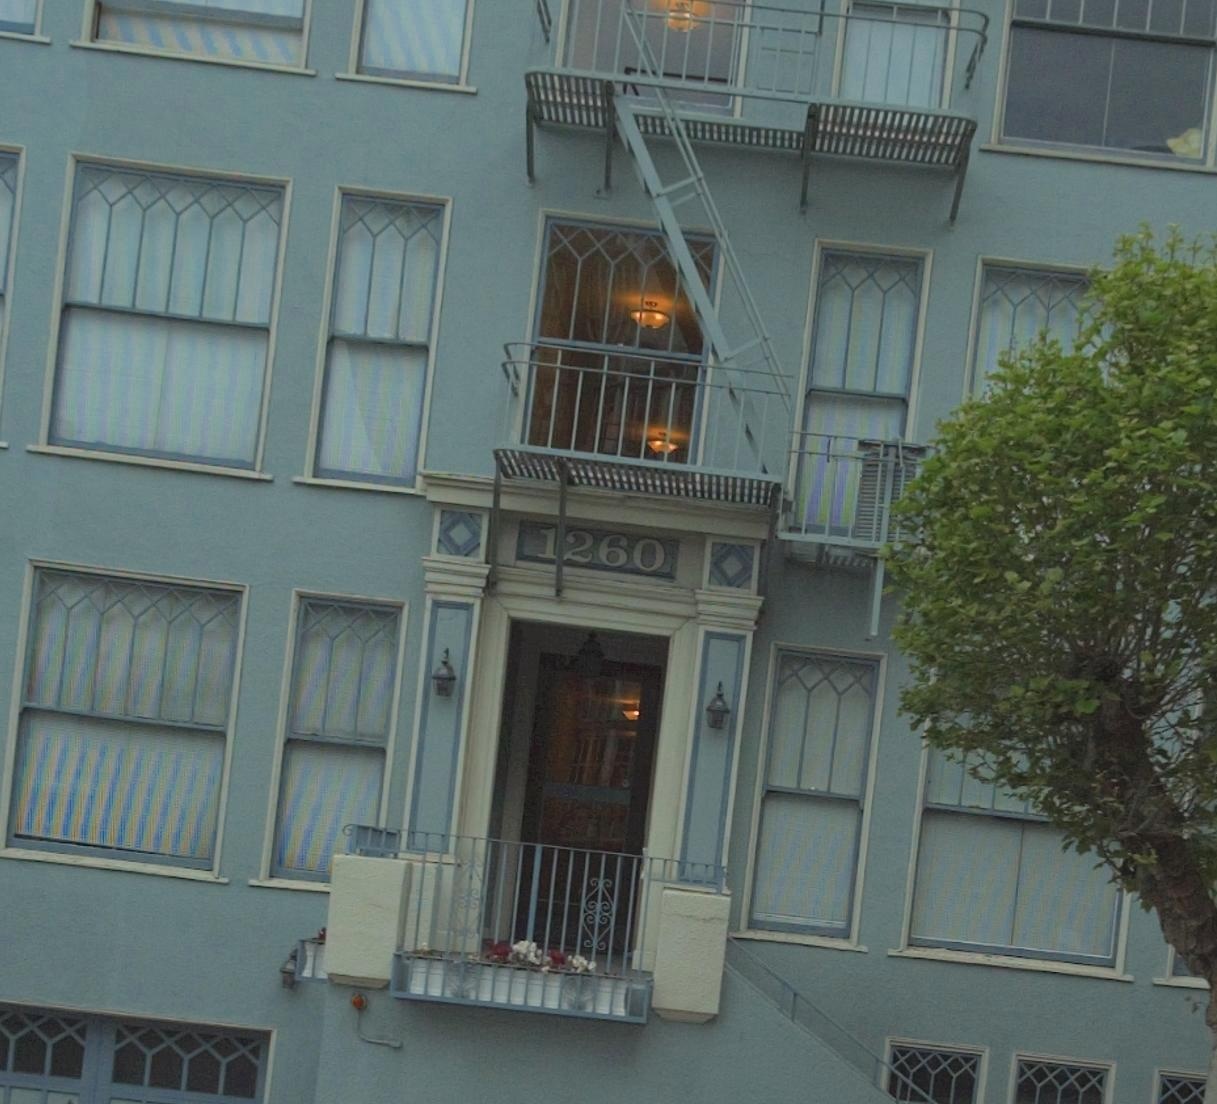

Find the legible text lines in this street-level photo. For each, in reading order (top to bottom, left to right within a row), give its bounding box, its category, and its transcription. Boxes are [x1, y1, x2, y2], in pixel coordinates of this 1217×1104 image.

[534, 522, 669, 579] StreetNumber: 1260